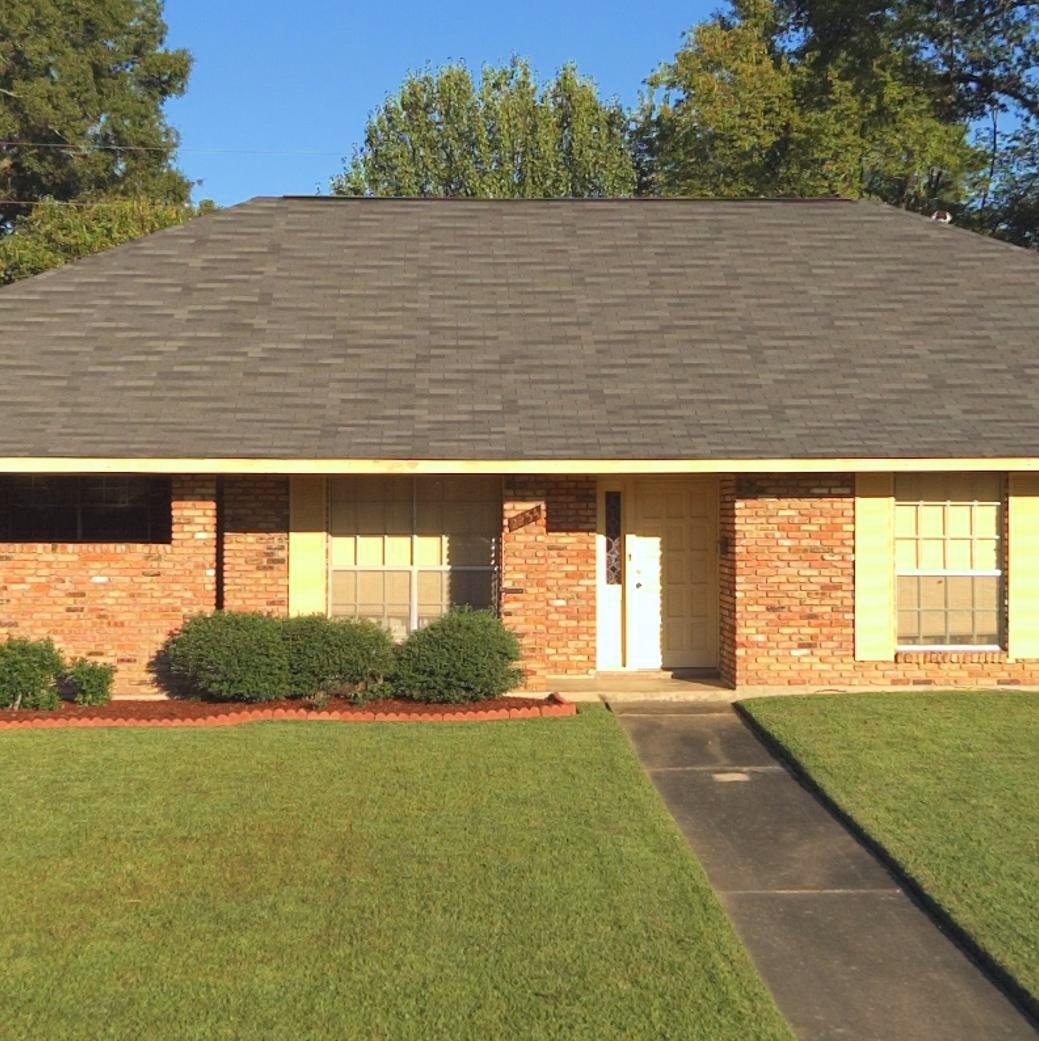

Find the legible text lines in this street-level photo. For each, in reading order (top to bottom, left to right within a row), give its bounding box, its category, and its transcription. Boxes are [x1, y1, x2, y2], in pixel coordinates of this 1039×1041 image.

[511, 507, 541, 531] StreetNumber: 2254